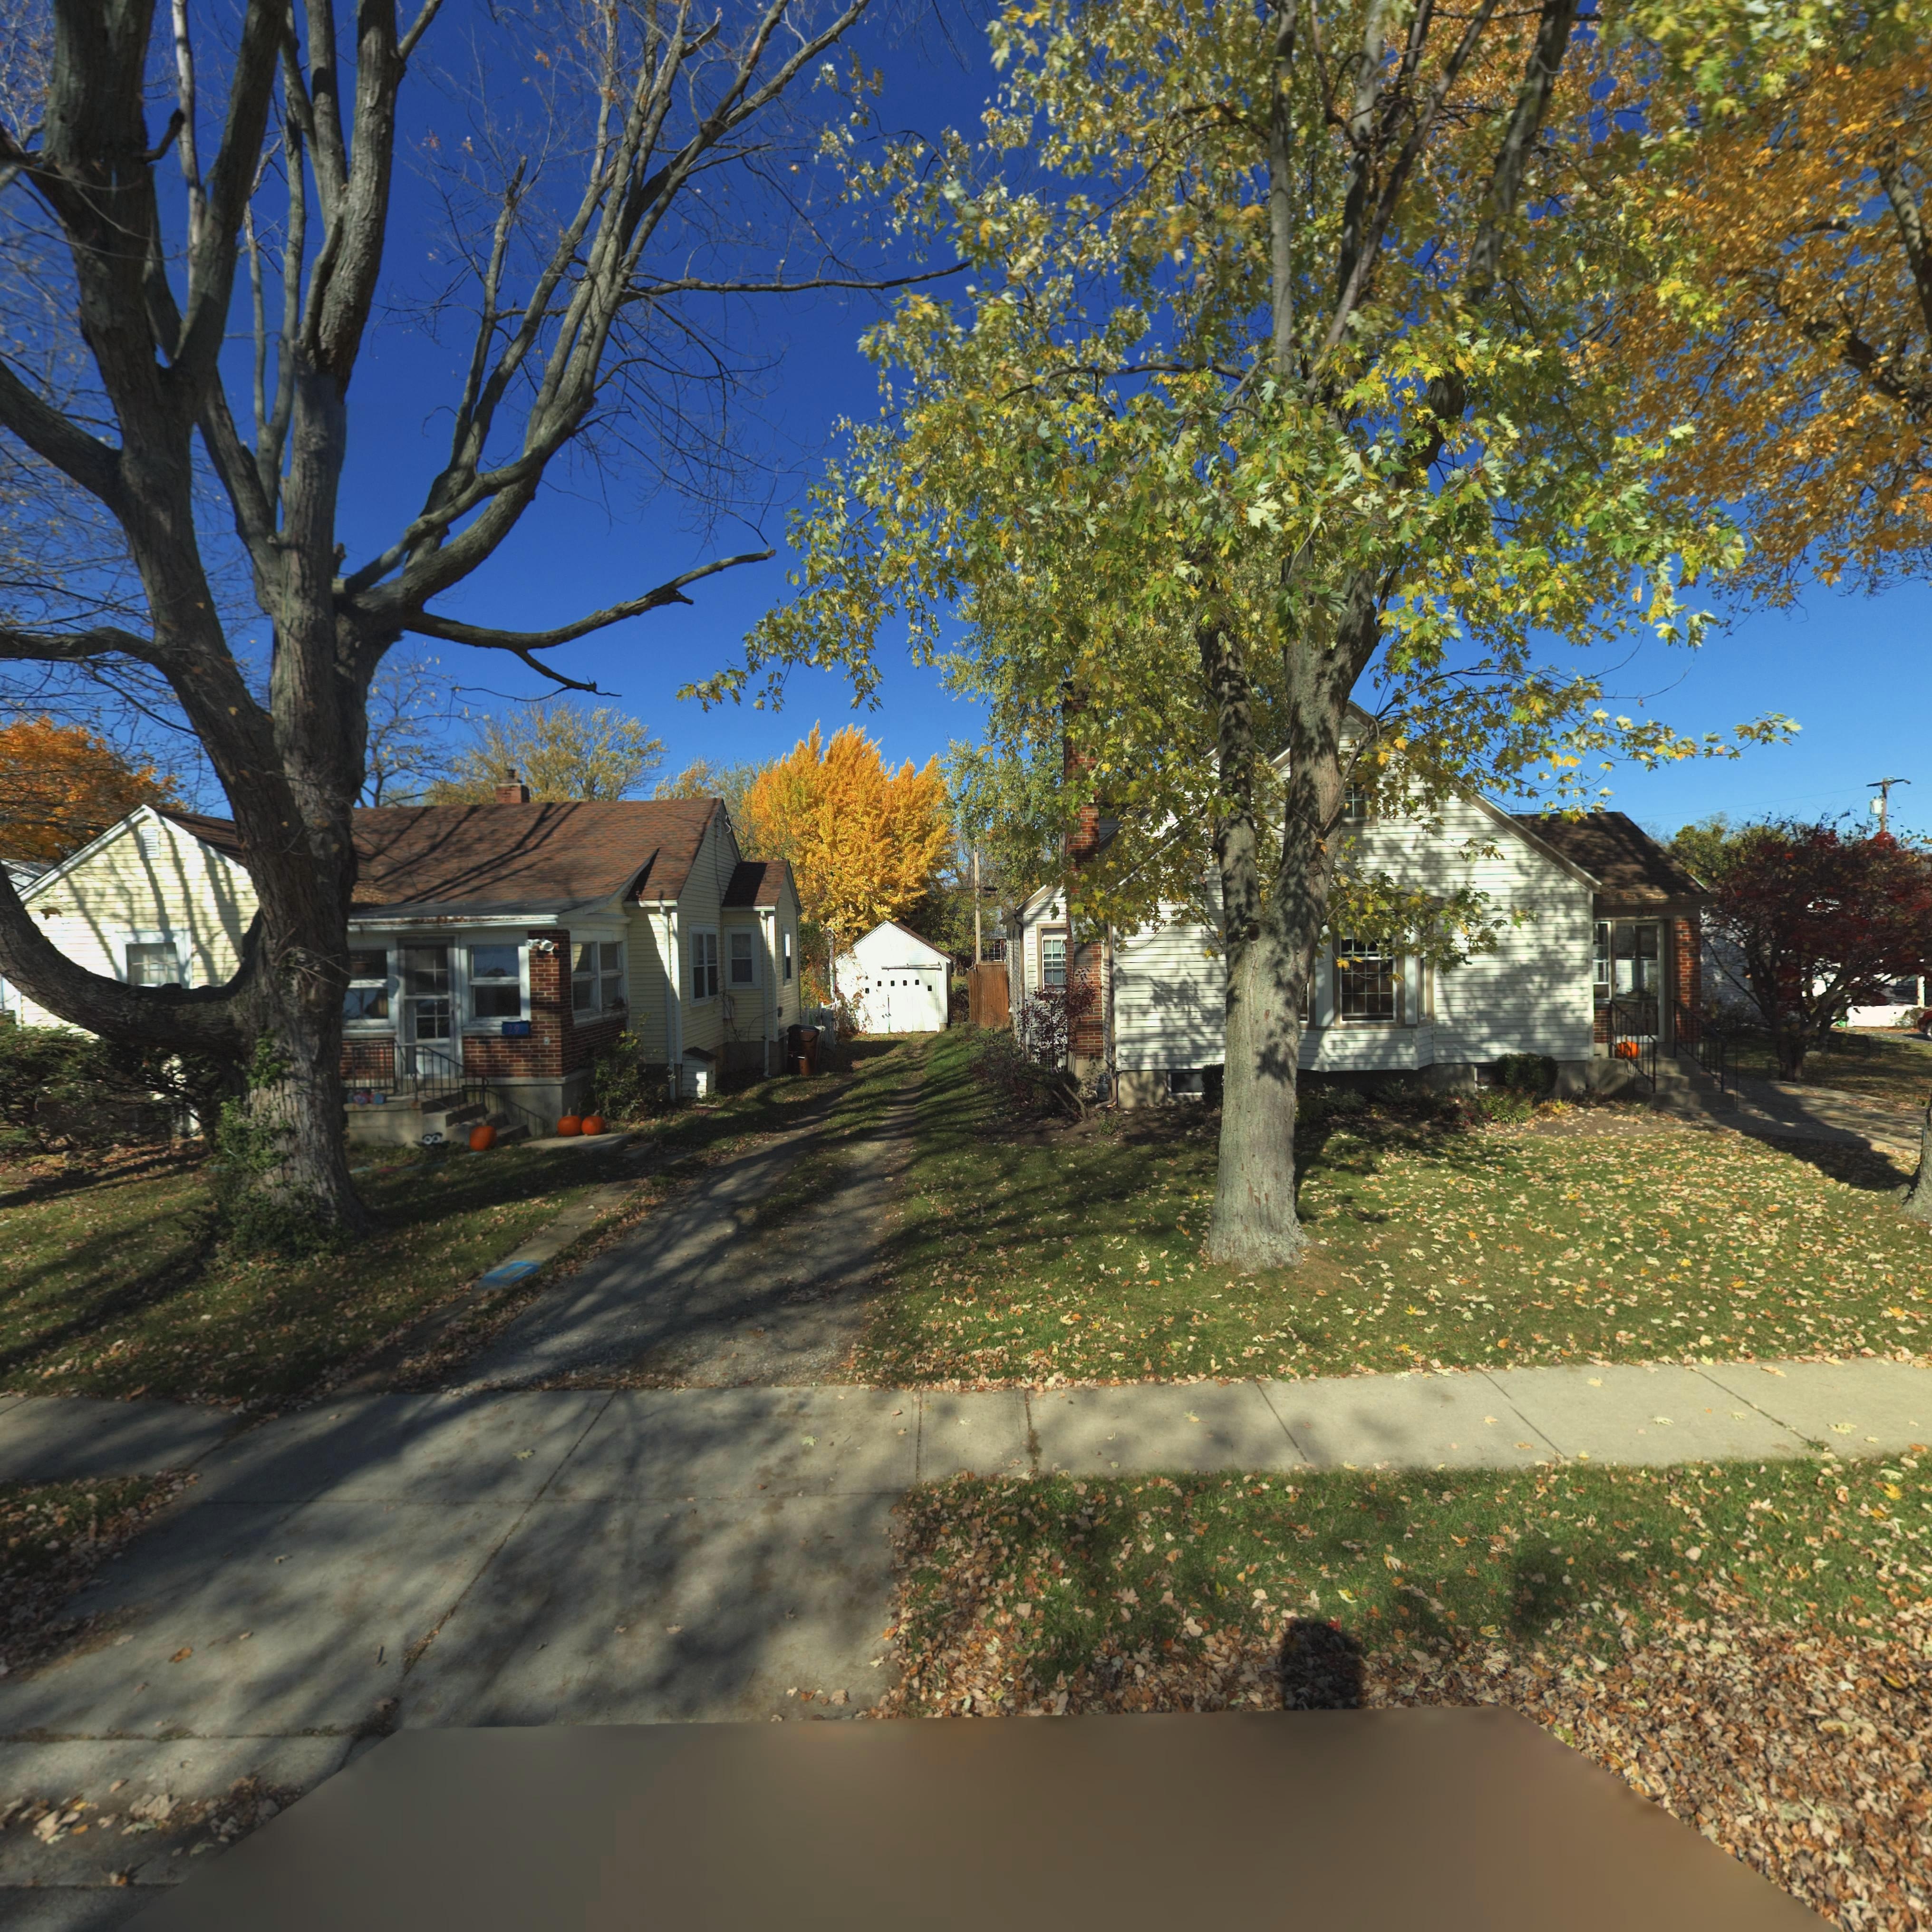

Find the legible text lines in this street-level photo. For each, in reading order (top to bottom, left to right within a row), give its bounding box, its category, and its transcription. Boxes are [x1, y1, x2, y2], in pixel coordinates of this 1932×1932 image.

[507, 1024, 521, 1035] StreetNumber: 29